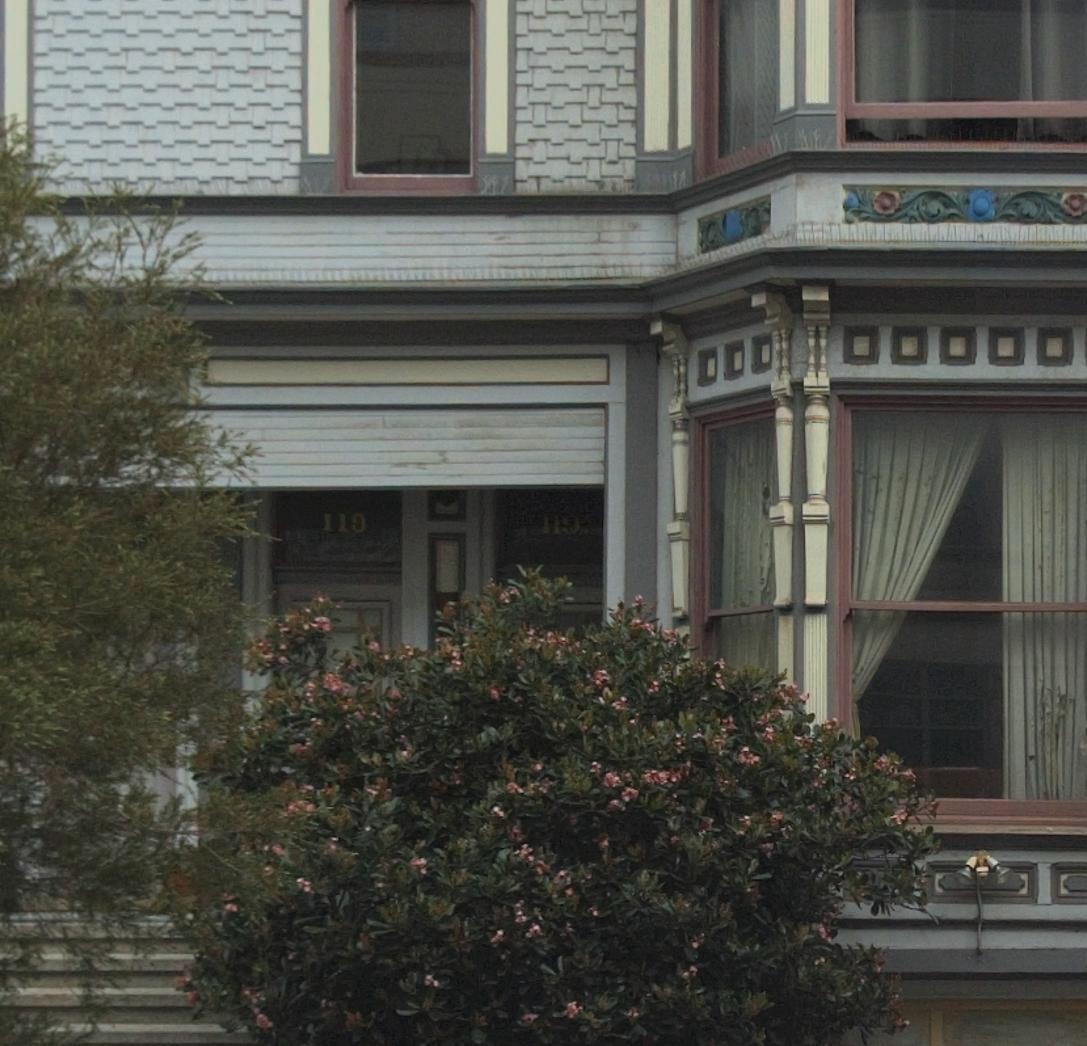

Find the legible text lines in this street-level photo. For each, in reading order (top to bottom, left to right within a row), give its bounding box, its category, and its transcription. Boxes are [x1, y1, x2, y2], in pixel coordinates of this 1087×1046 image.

[320, 511, 367, 534] StreetNumber: 119
[539, 514, 582, 536] StreetNumber: 119